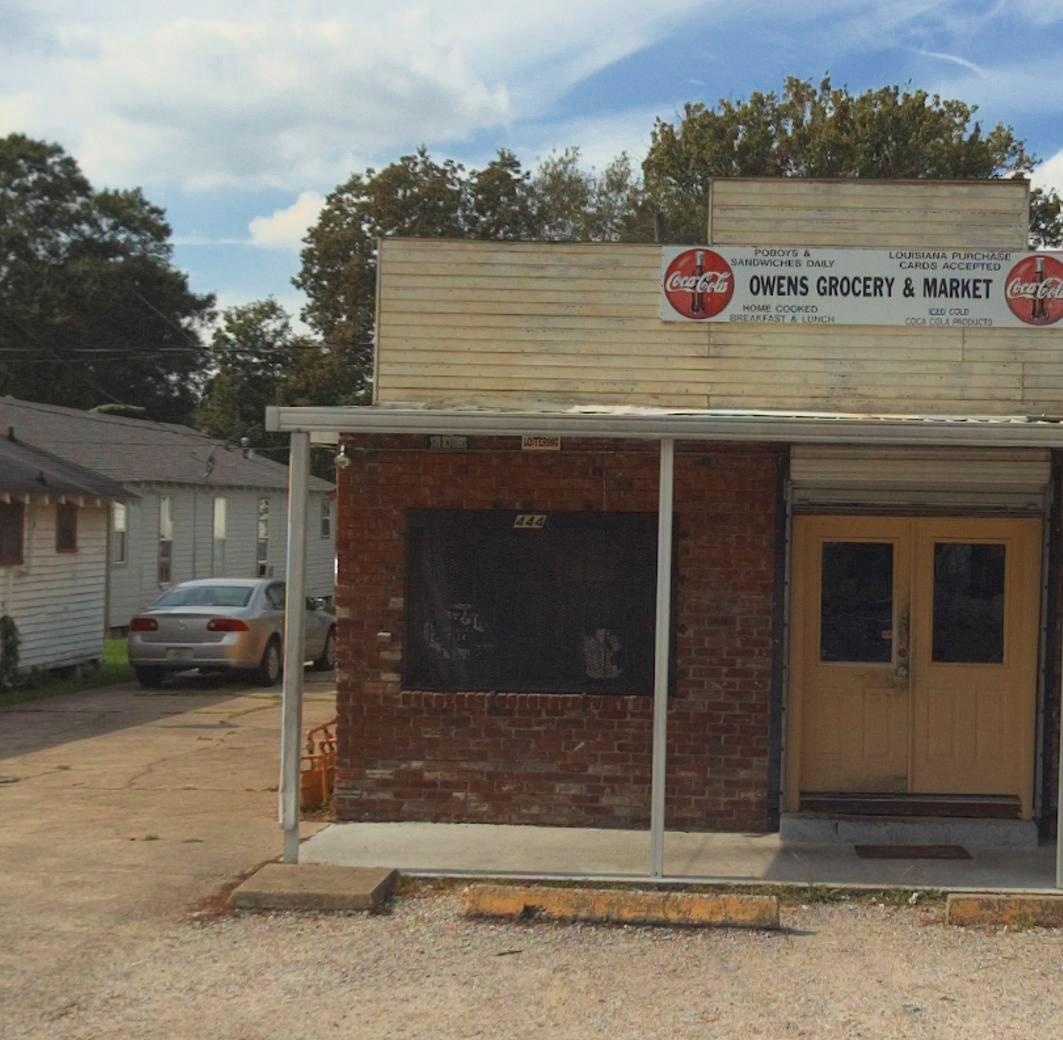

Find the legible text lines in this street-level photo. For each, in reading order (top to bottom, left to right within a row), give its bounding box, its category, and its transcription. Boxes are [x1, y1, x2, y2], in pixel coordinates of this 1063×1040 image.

[751, 246, 812, 256] None: POBOYS &
[886, 249, 1012, 261] None: LOUISIANA PURCHASE
[729, 257, 836, 269] None: SANDWICHES DAILY
[895, 260, 1002, 271] None: CARDS ACCEPED
[663, 268, 732, 296] None: Coca-Cola
[747, 272, 995, 301] BusinessName: OWENS GROCERY & MARKET
[1003, 276, 1063, 303] None: Coca-Col*
[741, 303, 818, 313] None: HOME COOKED
[927, 306, 969, 316] None: ICED COLD
[728, 313, 835, 324] None: BREAKFAST & LUNCH
[902, 317, 994, 327] None: COCA COLA PRODUCTS
[521, 436, 560, 448] None: LOITERING
[513, 514, 545, 529] StreetNumber: 444